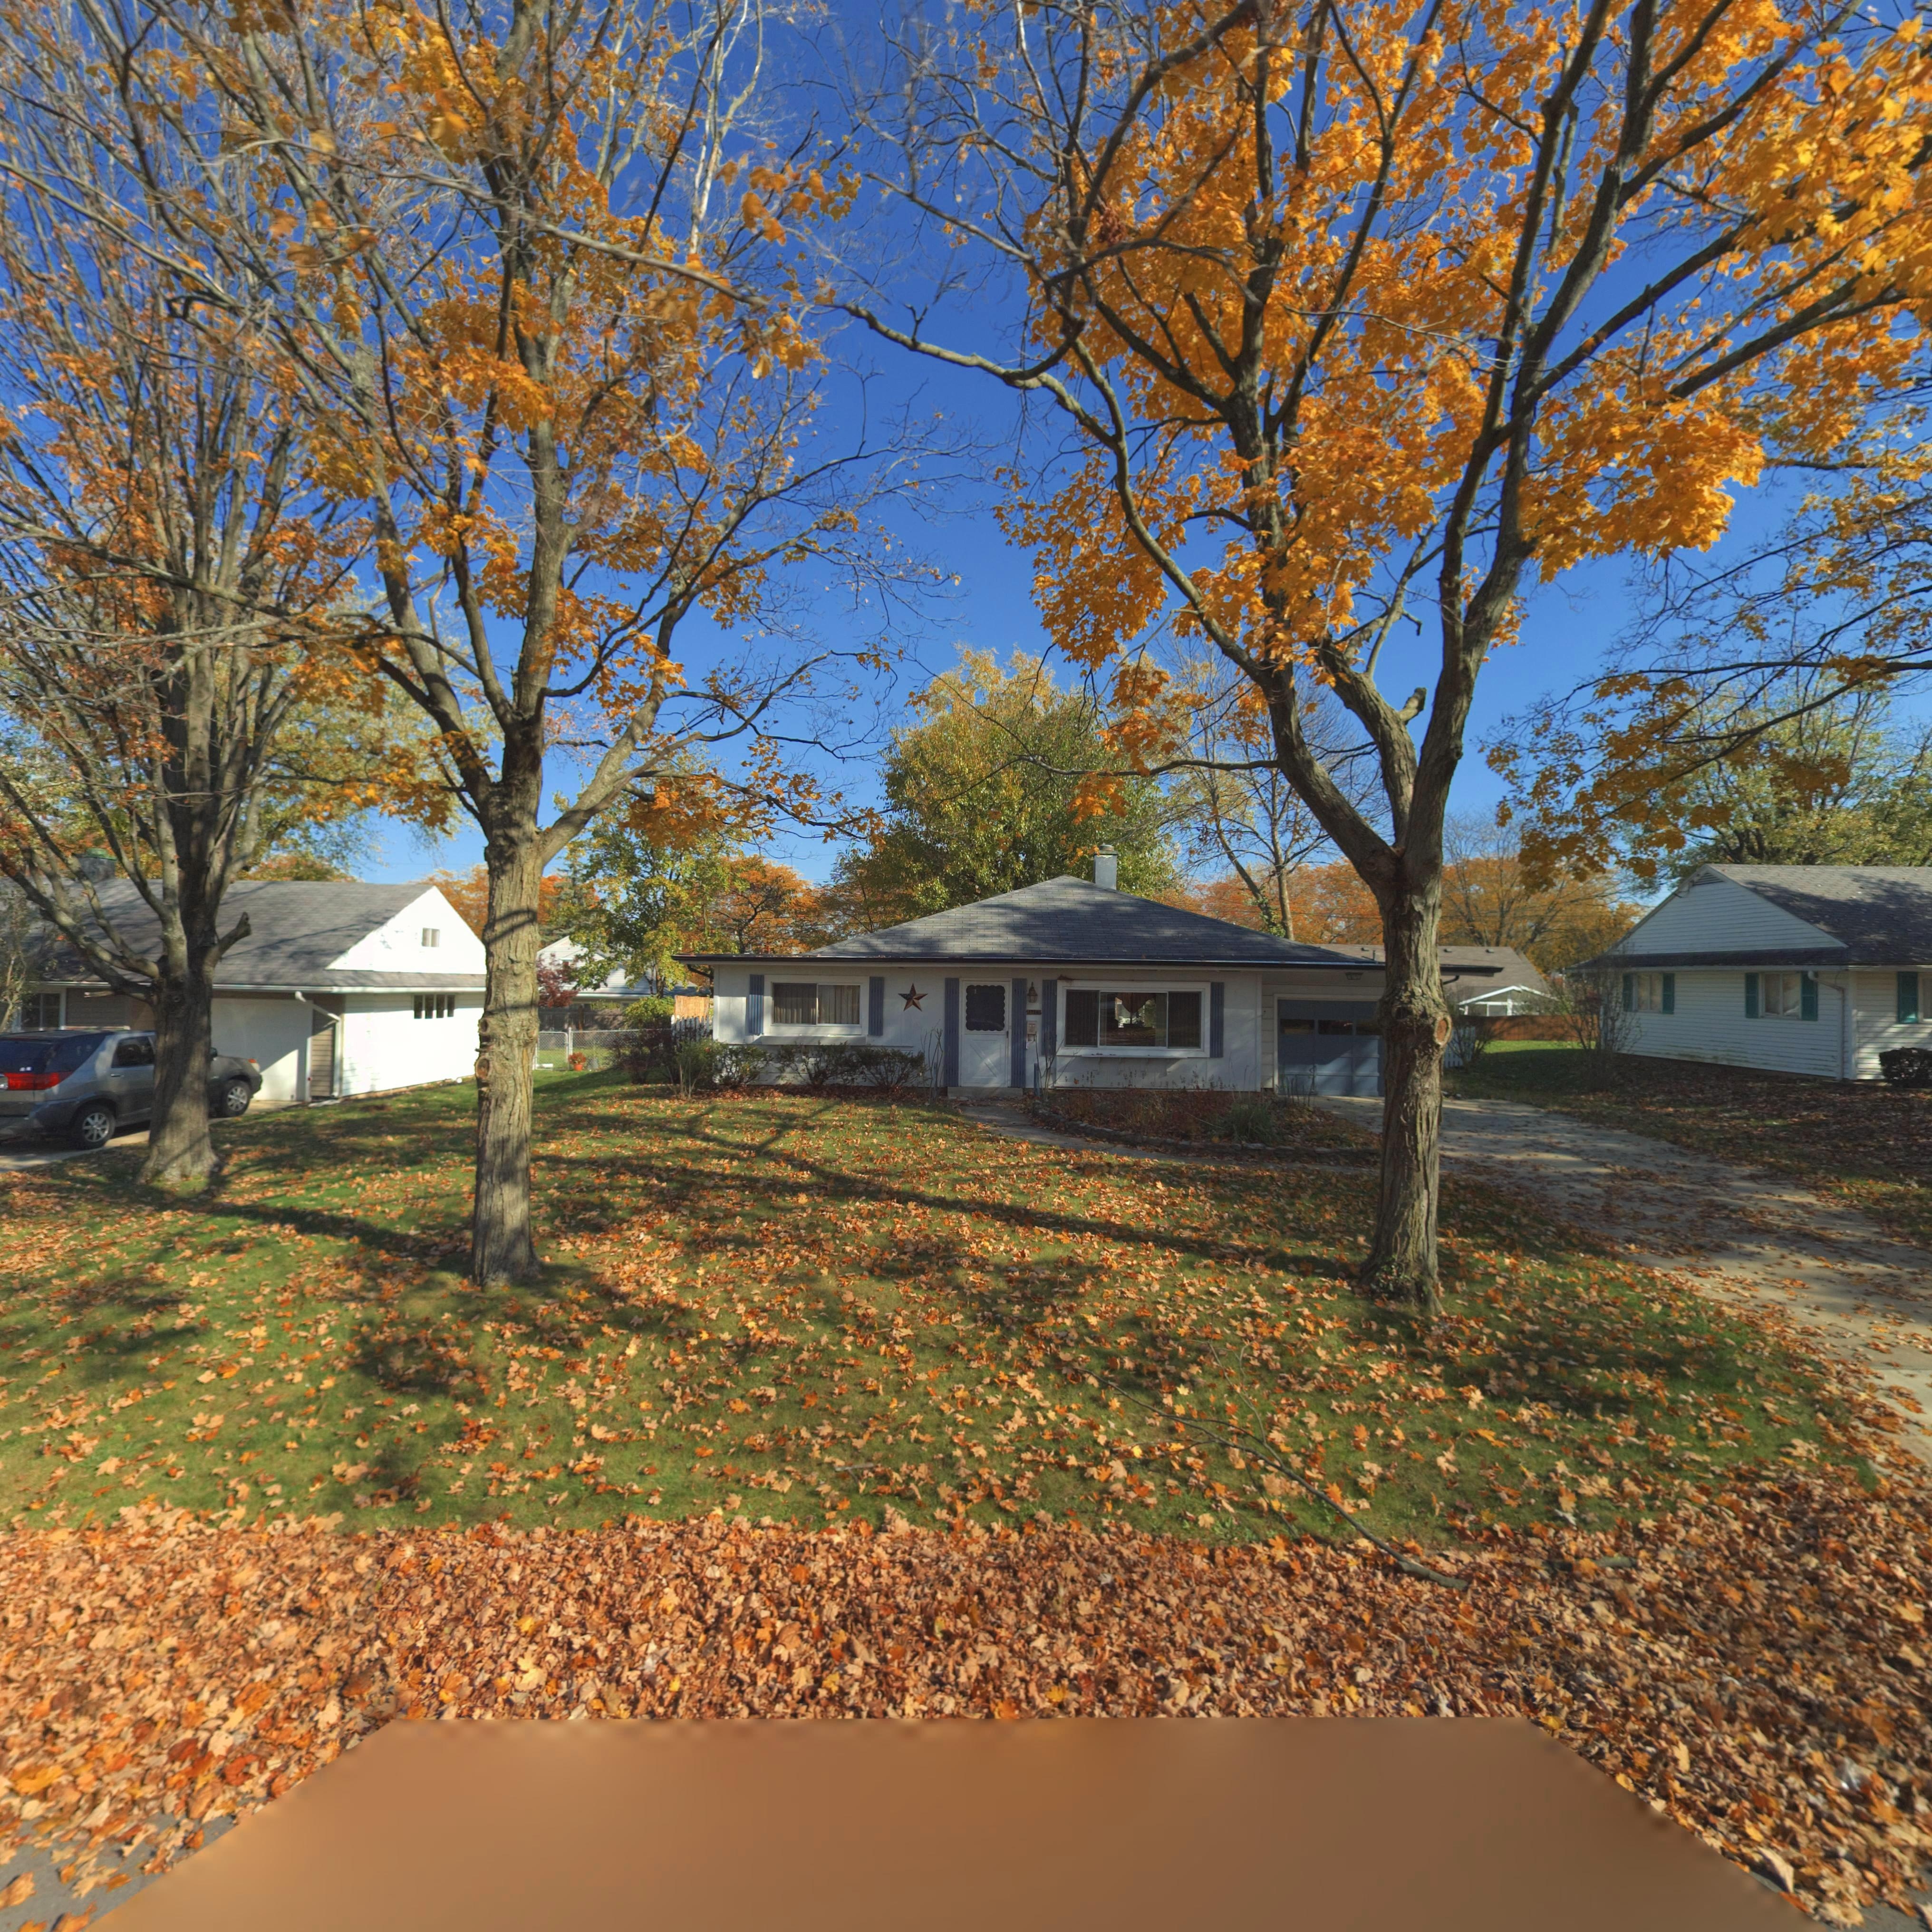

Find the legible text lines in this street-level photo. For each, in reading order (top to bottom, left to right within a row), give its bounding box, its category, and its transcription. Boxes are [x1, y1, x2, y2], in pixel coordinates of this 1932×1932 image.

[1027, 1010, 1038, 1014] StreetNumber: 37**